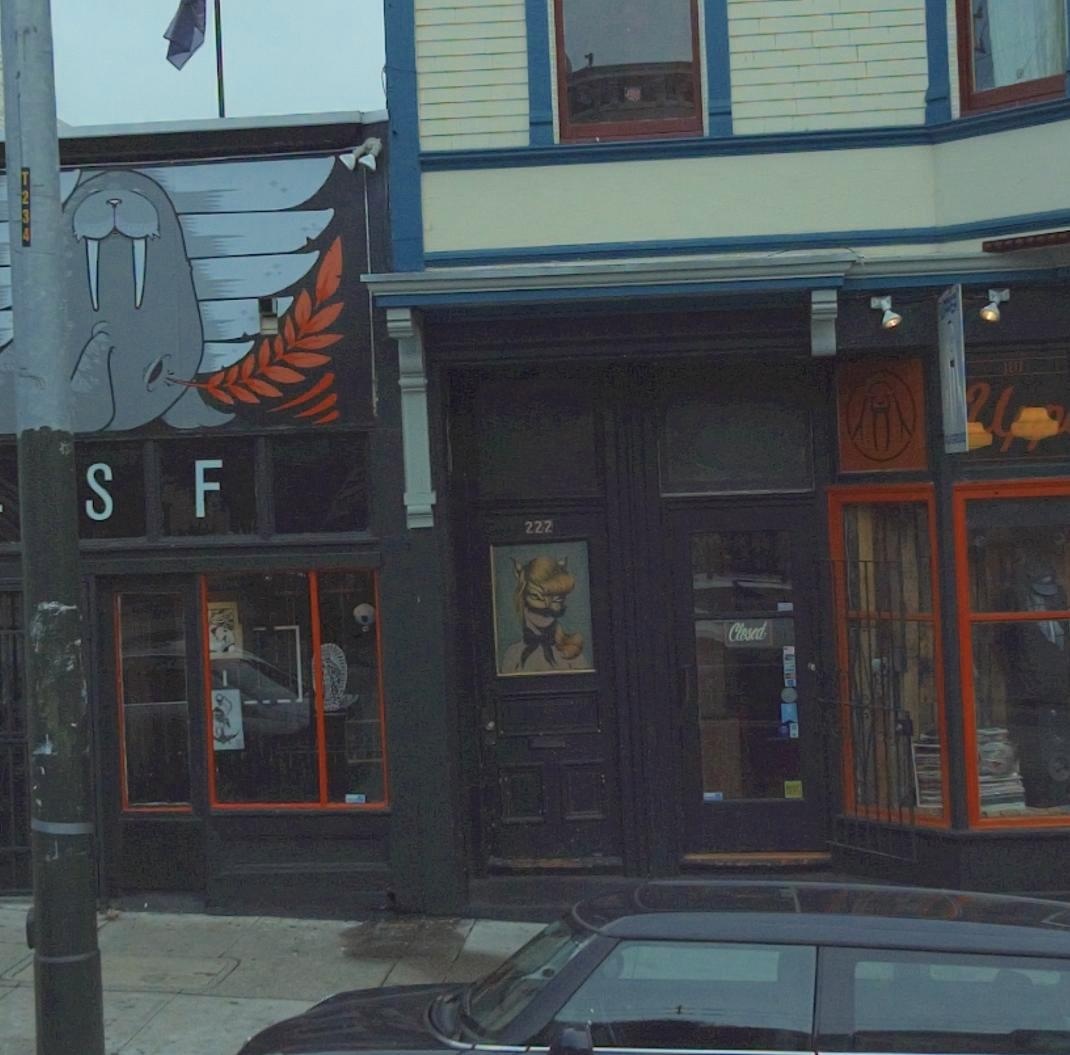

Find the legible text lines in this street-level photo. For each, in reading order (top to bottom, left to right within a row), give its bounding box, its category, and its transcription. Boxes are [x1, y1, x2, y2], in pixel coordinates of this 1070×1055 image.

[19, 169, 32, 244] None: T234
[81, 456, 118, 526] None: S
[191, 456, 228, 522] None: F
[523, 518, 554, 536] StreetNumber: 222
[726, 617, 771, 644] None: Closed